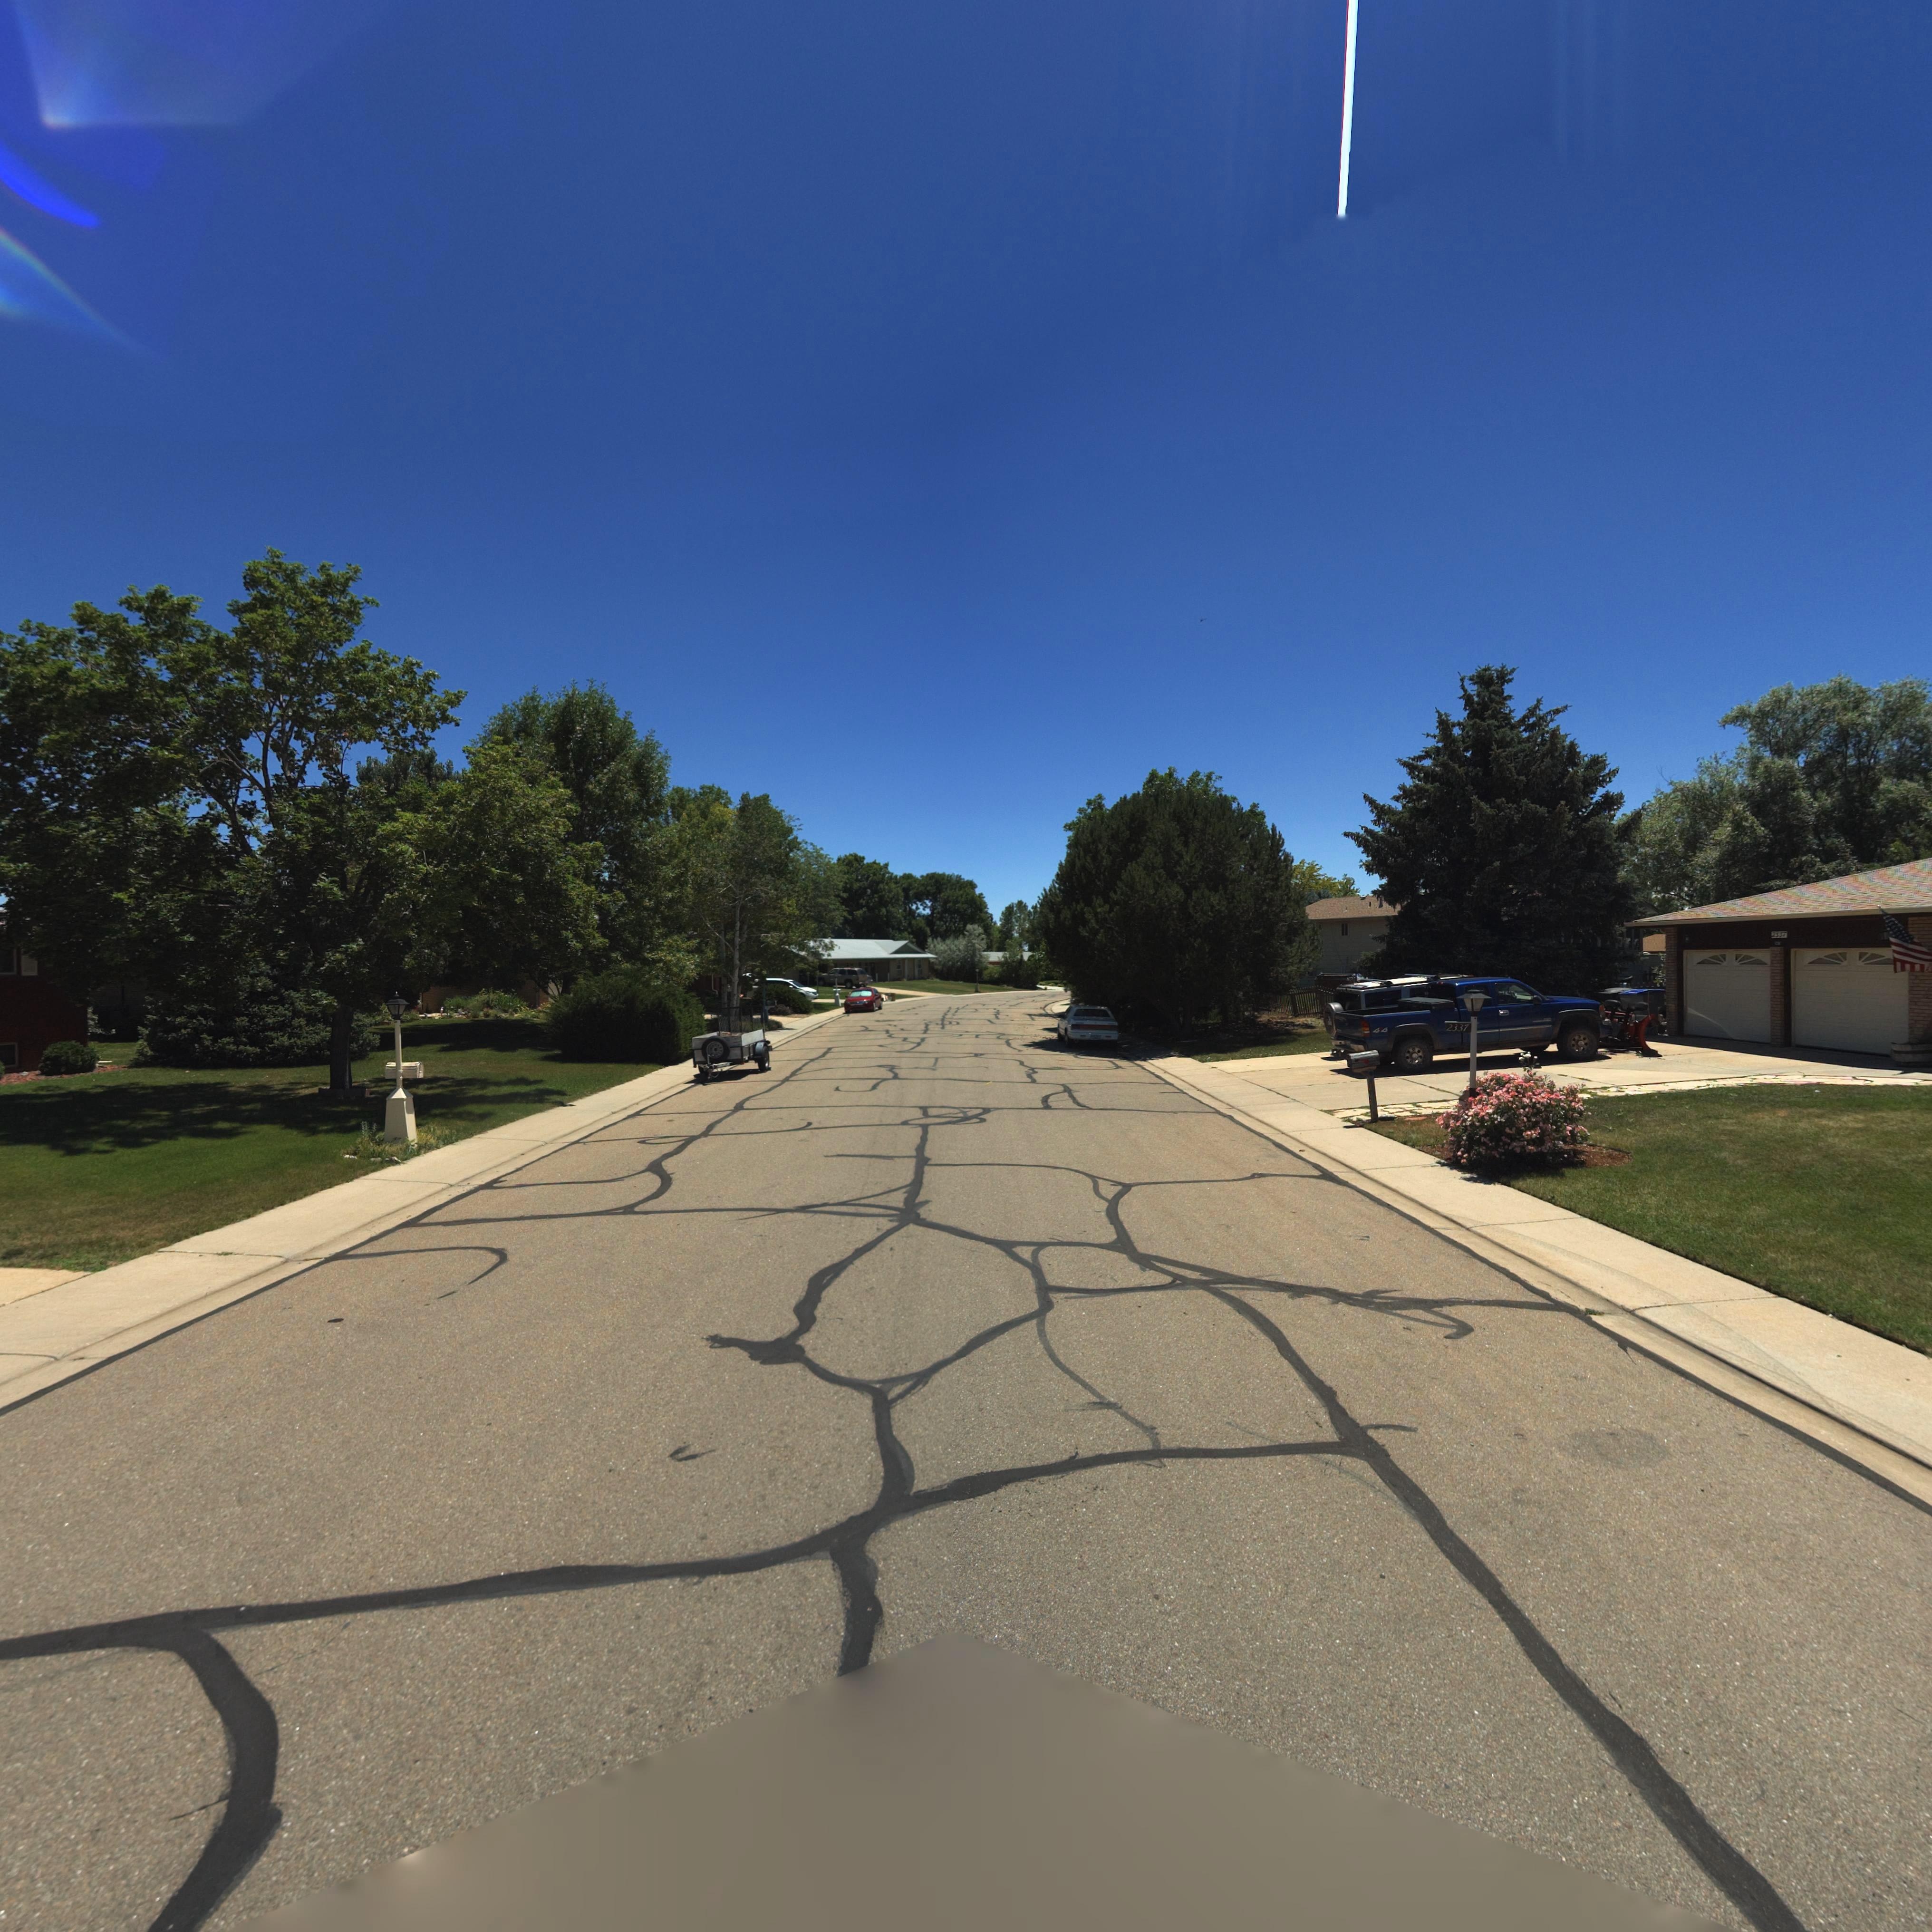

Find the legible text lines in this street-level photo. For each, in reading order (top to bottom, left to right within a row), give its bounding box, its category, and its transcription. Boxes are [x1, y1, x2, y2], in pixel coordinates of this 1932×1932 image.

[1771, 931, 1787, 937] StreetNumber: 2337
[1446, 1023, 1470, 1032] StreetNumber: 2337